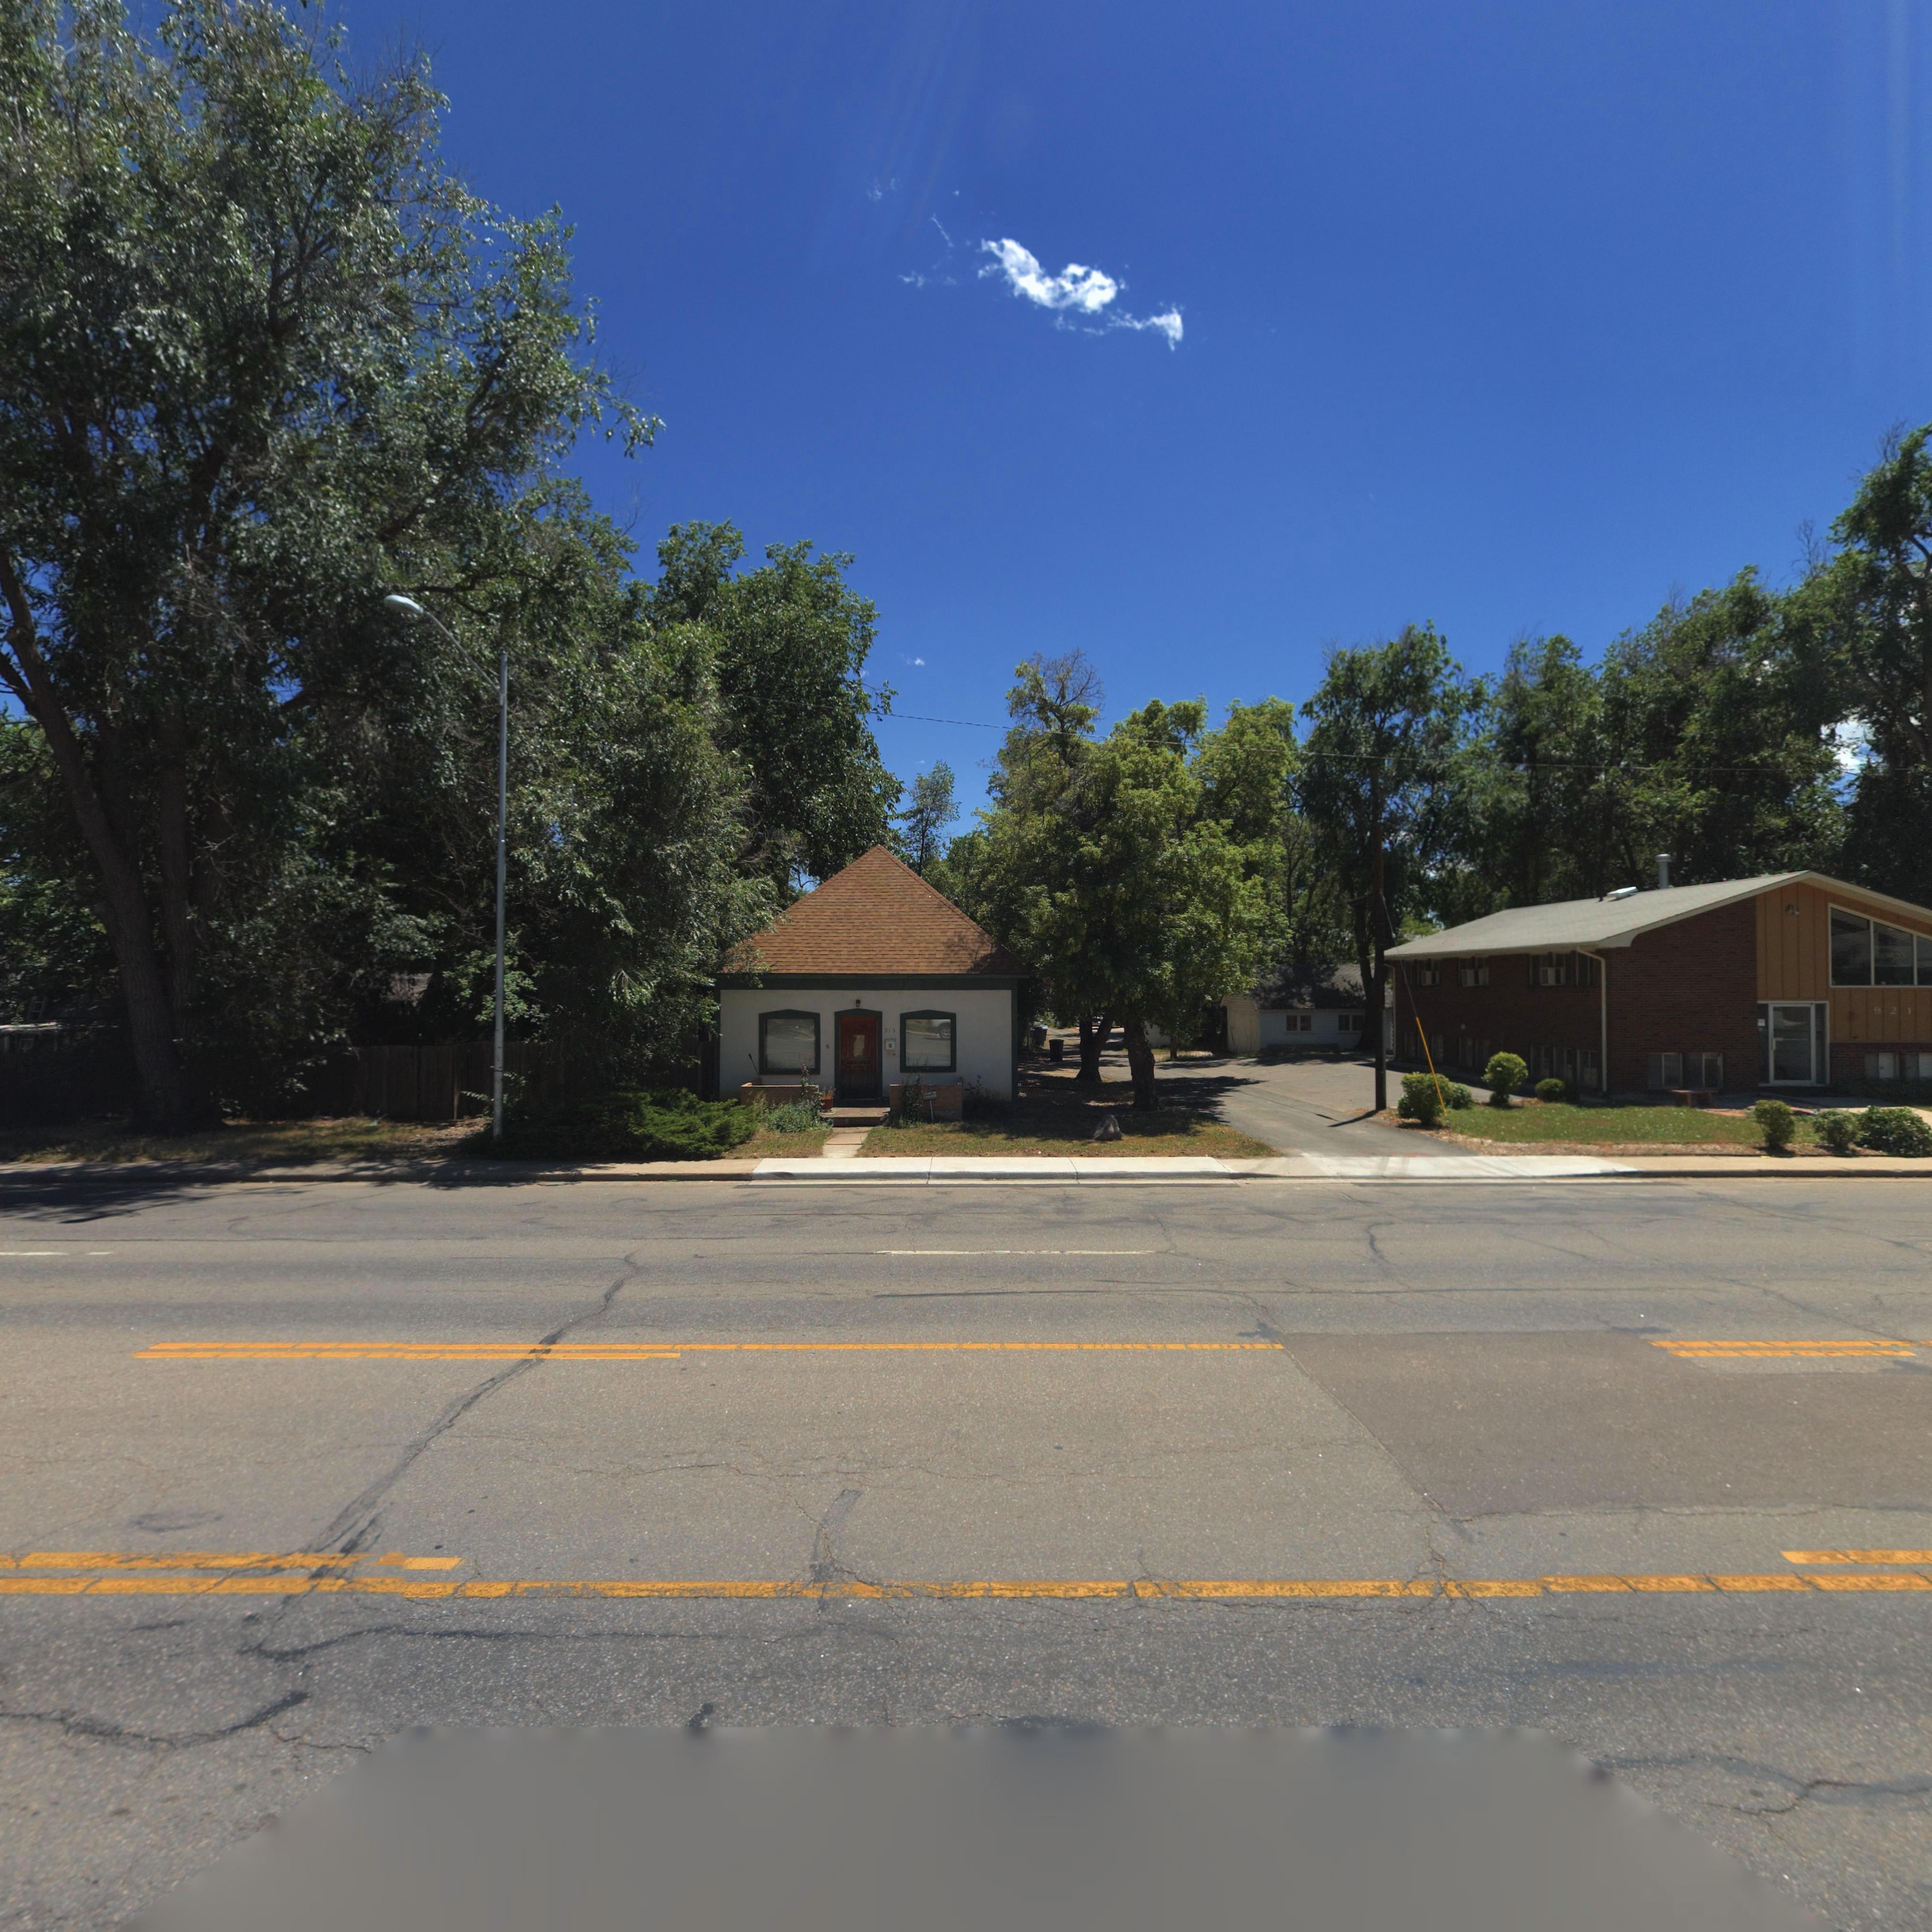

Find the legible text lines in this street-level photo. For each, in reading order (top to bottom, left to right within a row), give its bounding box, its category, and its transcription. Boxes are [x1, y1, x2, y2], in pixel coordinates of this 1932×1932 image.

[1874, 1006, 1911, 1015] StreetNumber: 921
[884, 1028, 895, 1033] StreetNumber: 913